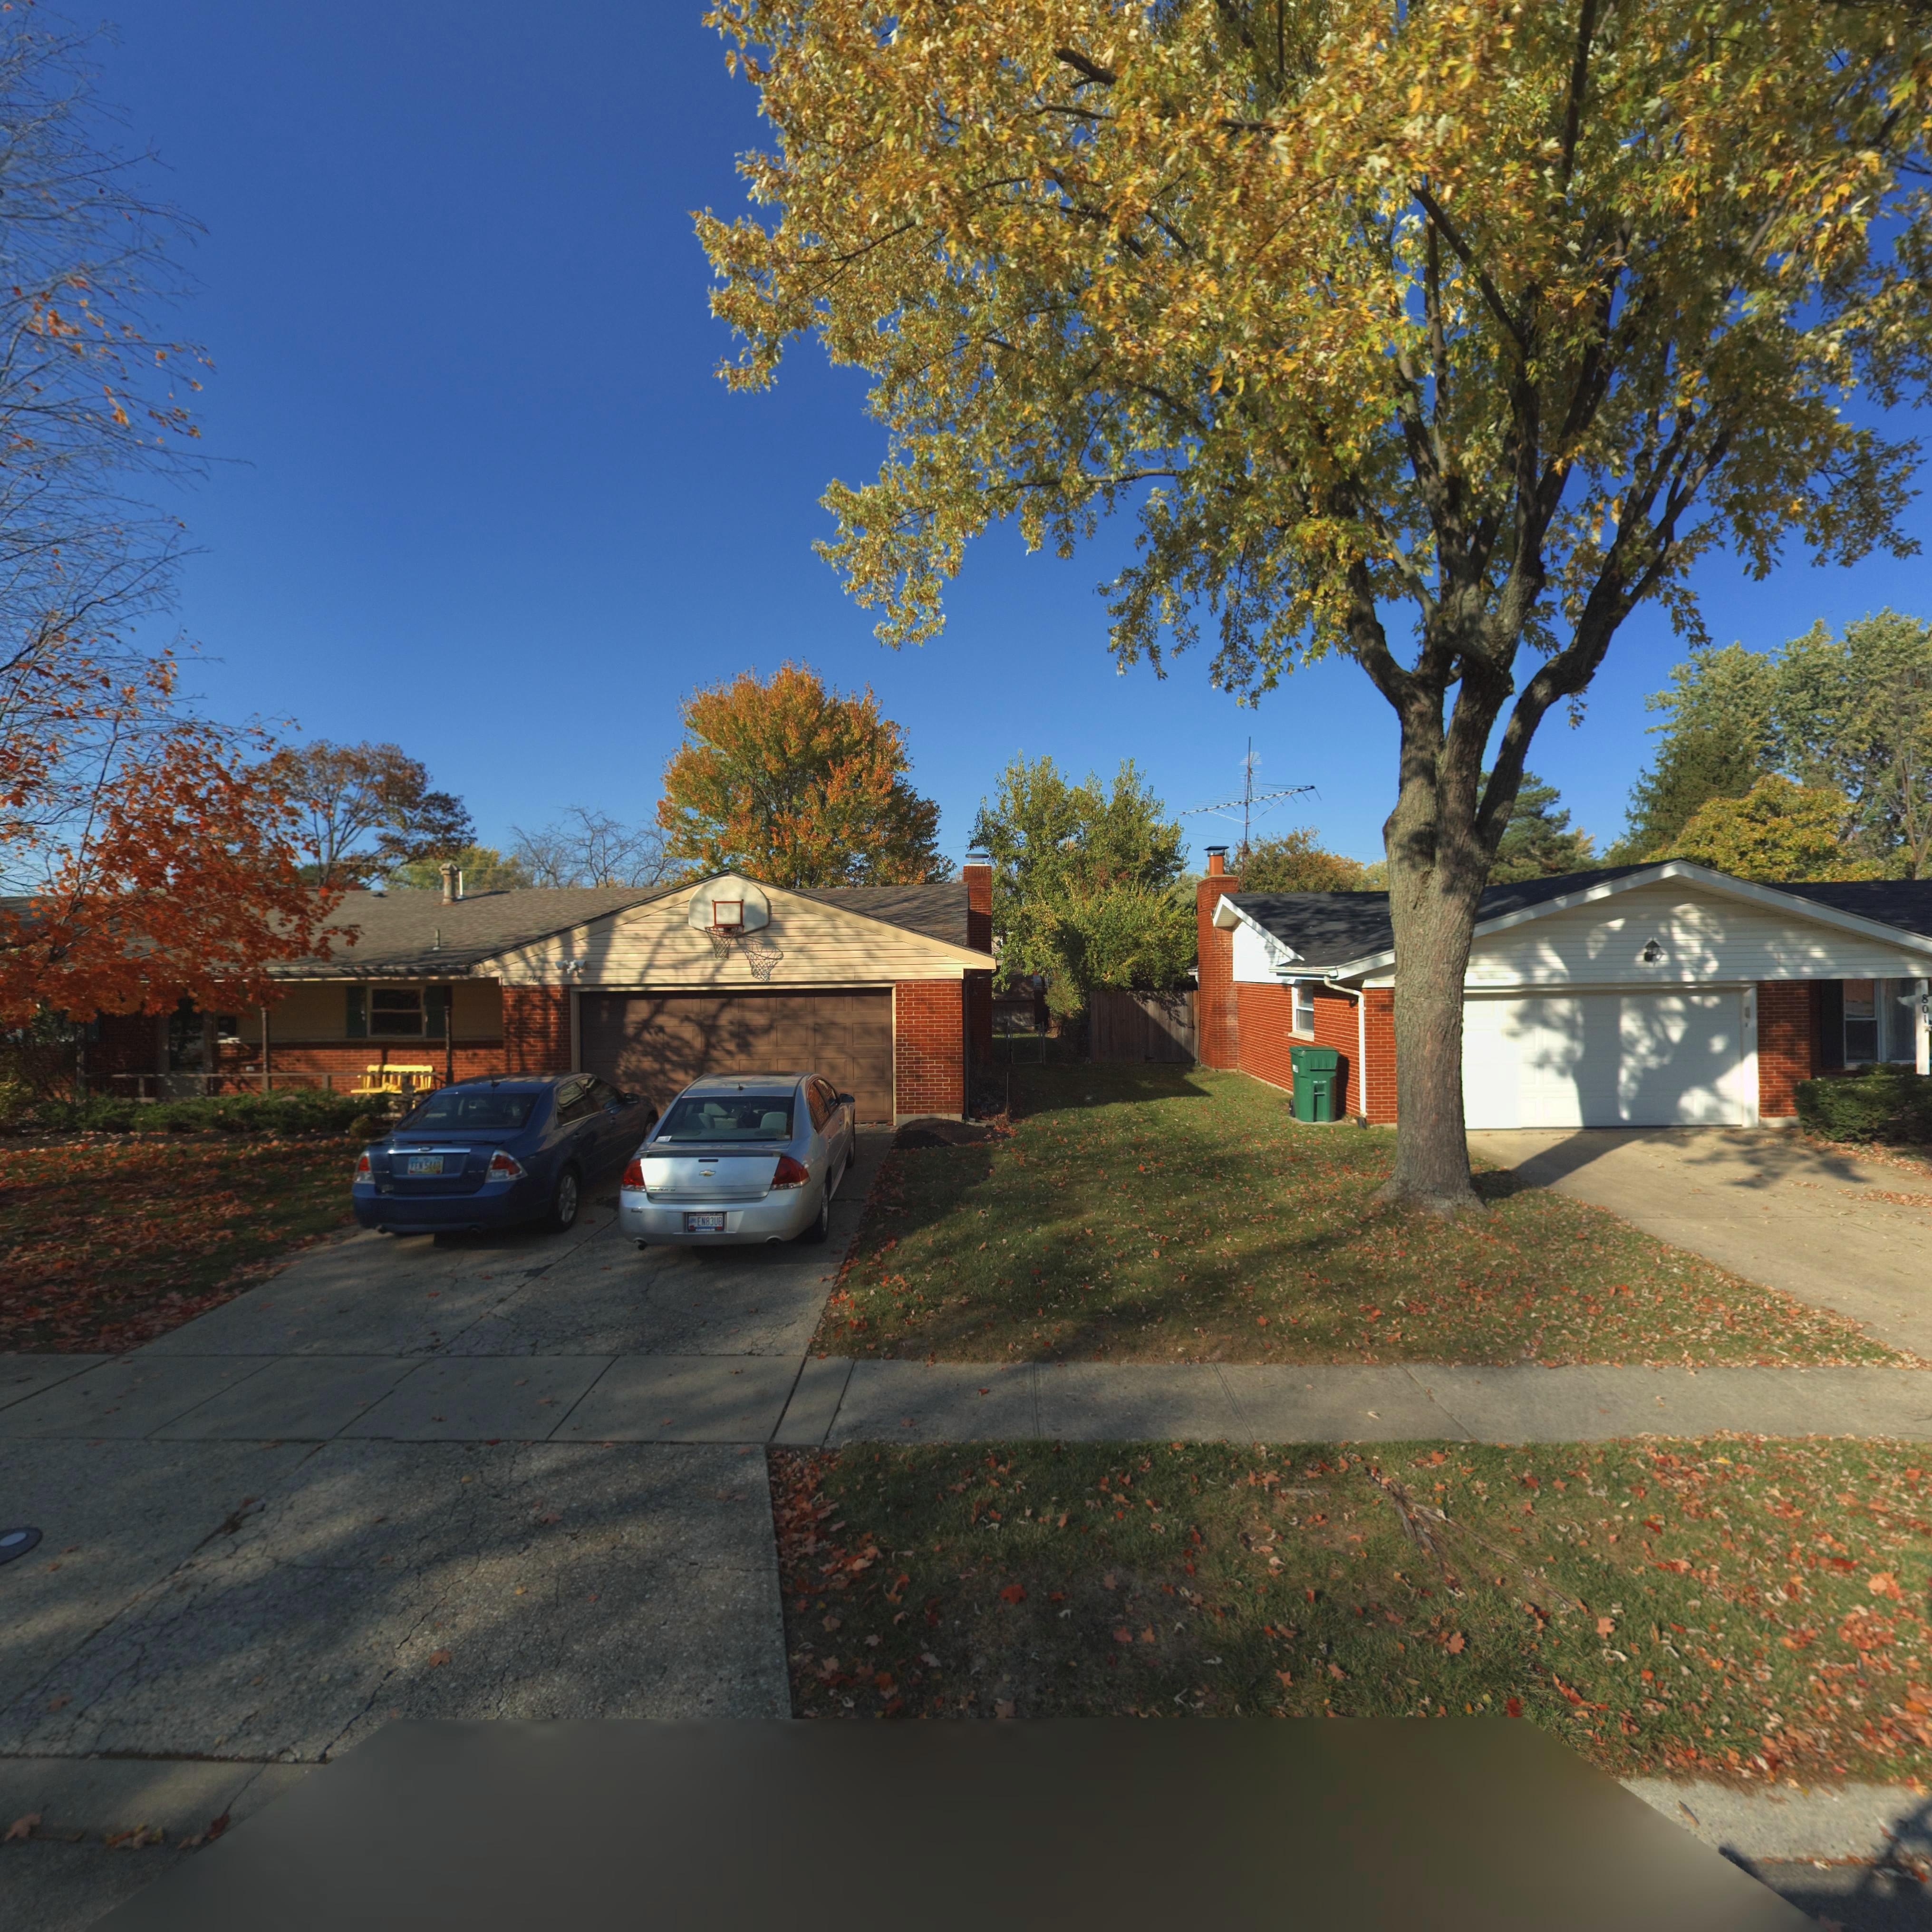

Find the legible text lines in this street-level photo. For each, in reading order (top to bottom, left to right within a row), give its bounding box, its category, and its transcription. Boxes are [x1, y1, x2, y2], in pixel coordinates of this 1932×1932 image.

[525, 975, 544, 983] StreetNumber: 767
[1920, 992, 1930, 1025] StreetNumber: 801